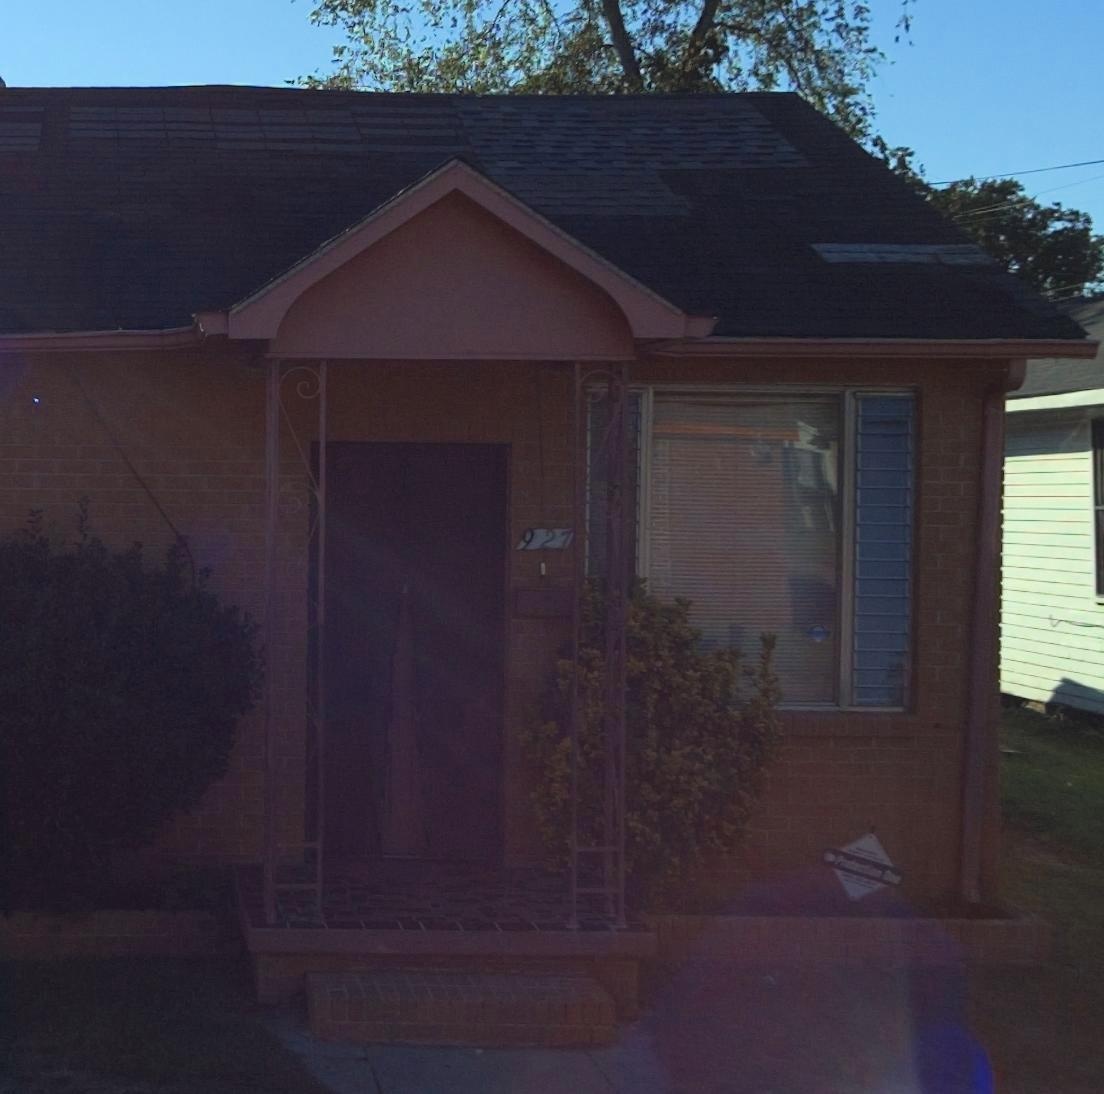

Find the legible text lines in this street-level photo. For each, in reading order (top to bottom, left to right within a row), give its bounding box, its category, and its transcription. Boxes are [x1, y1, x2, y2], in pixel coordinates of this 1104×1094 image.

[516, 526, 576, 553] StreetNumber: 927